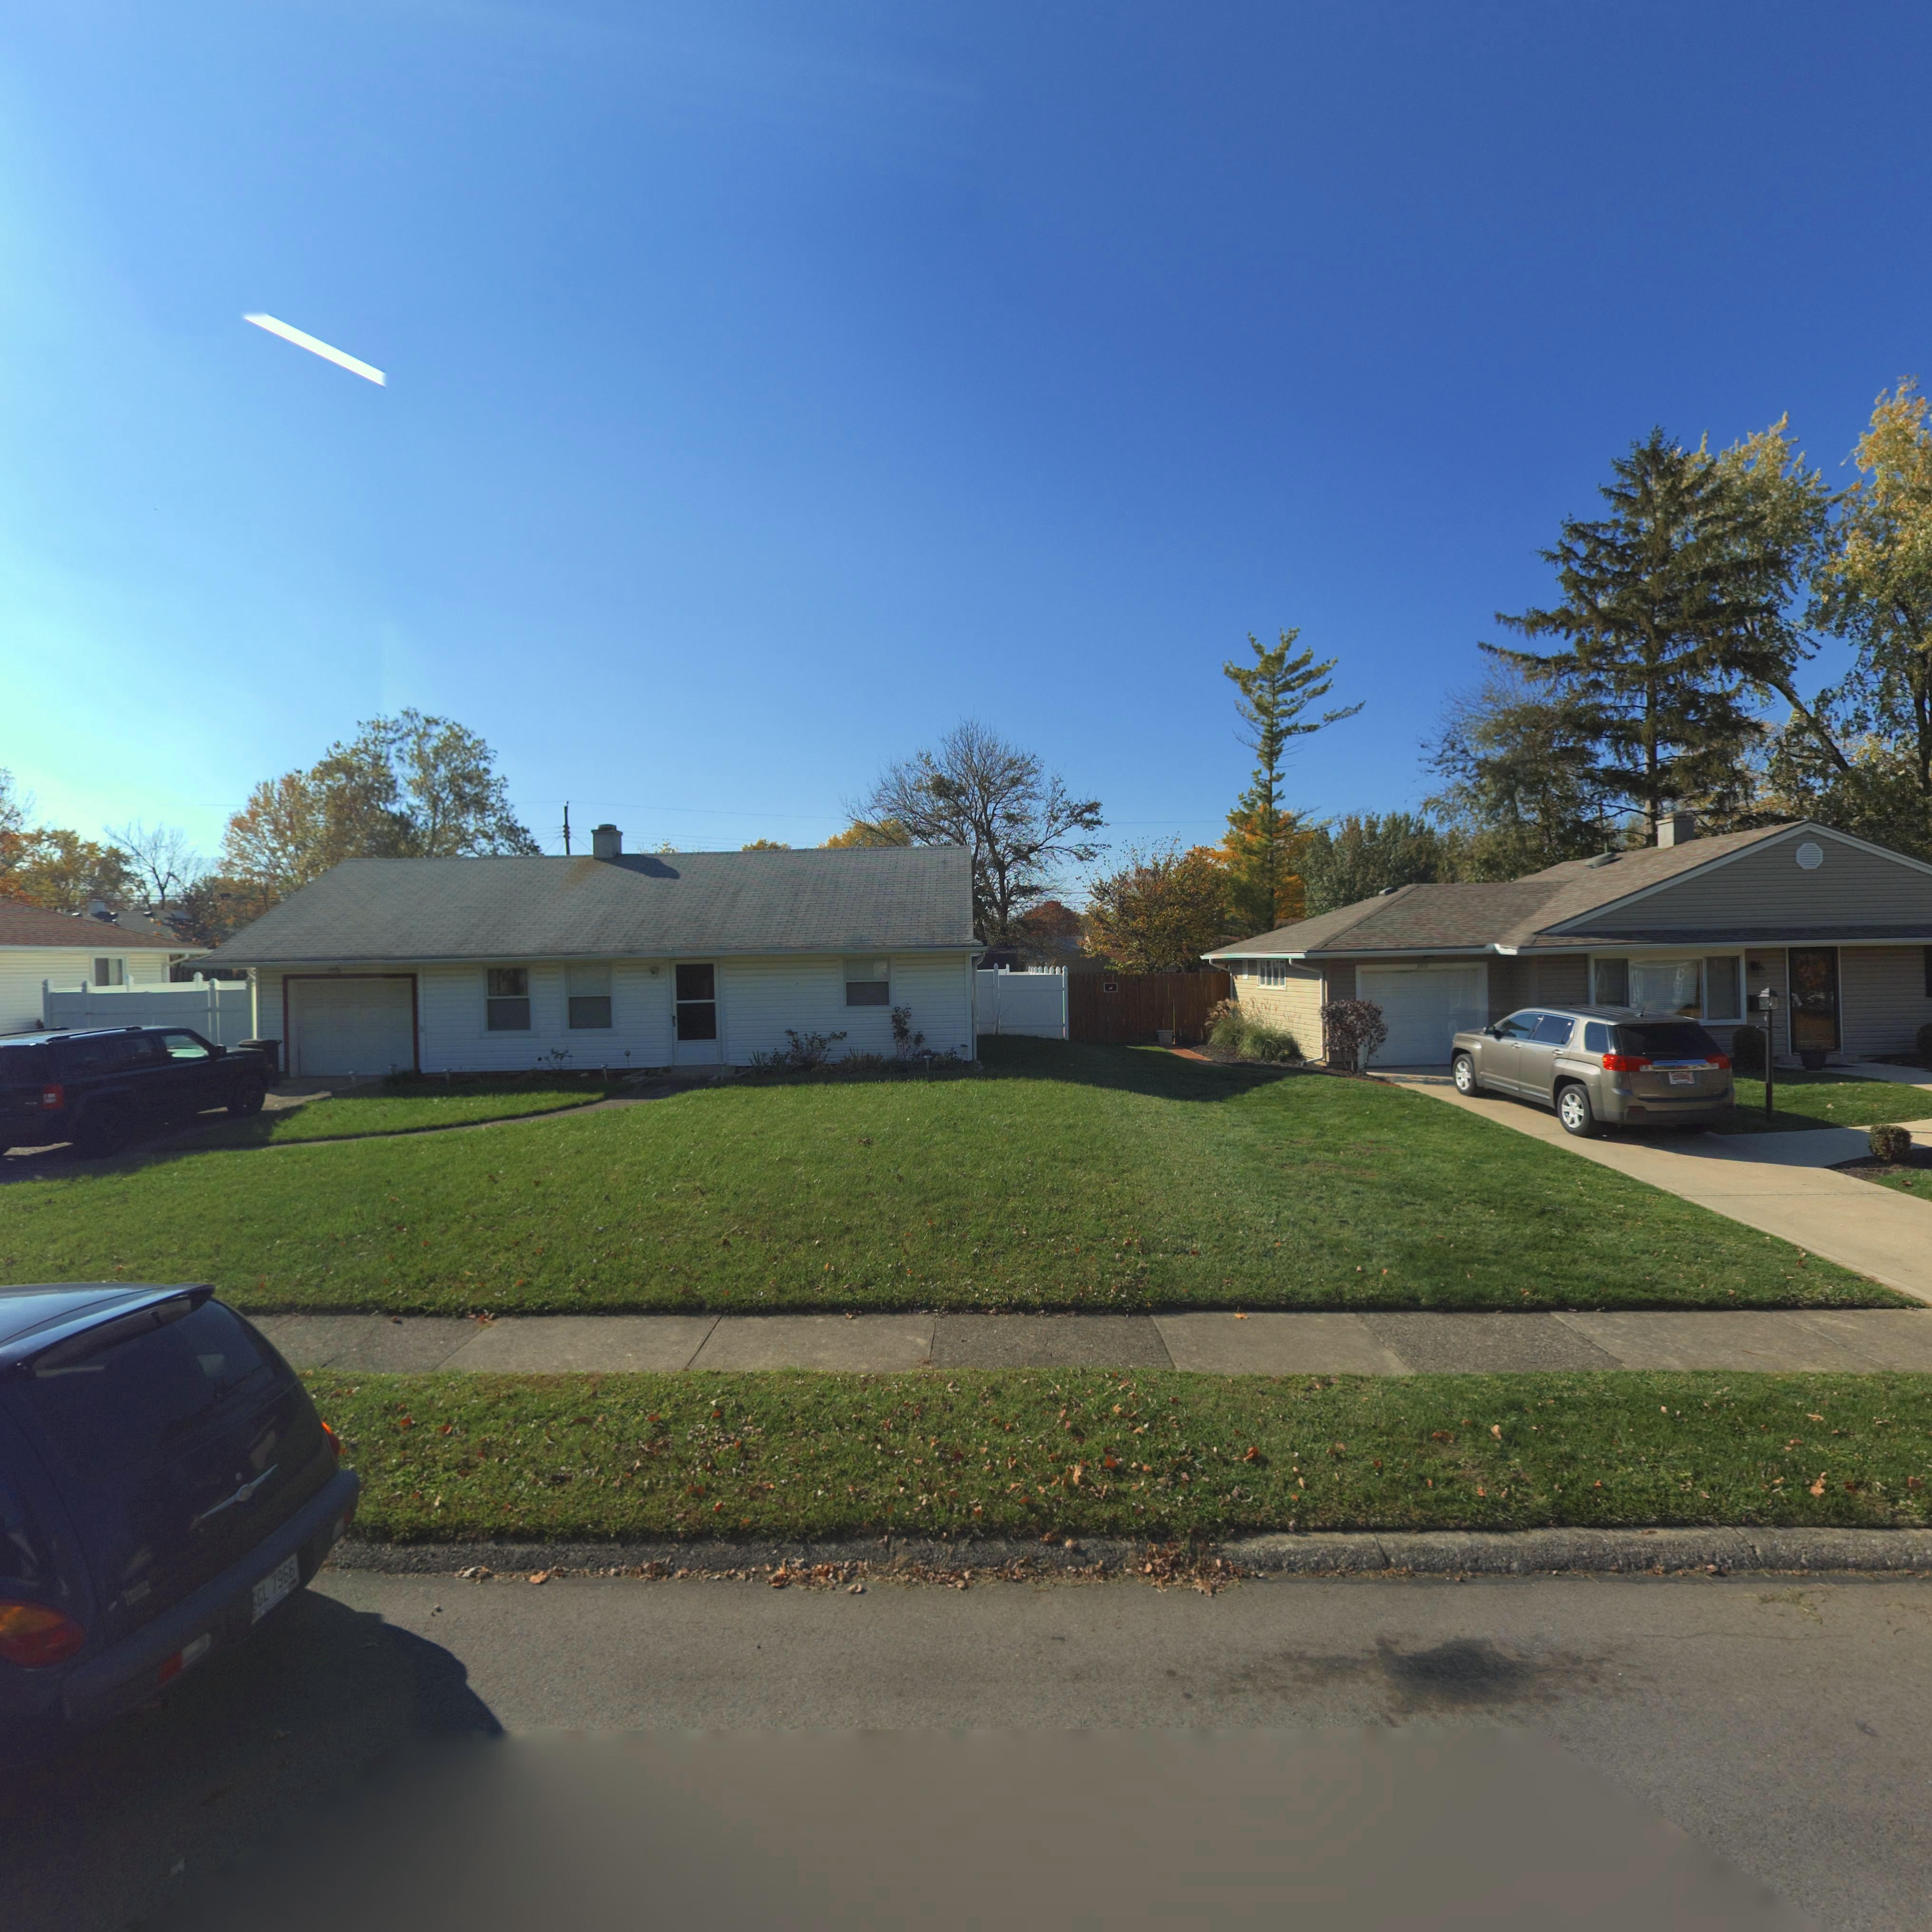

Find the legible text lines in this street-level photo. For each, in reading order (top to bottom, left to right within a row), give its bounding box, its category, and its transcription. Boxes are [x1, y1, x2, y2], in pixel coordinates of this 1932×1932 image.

[1415, 963, 1430, 970] StreetNumber: 37*9
[256, 1558, 296, 1608] None: GL*7966
[119, 1588, 128, 1598] None: 1